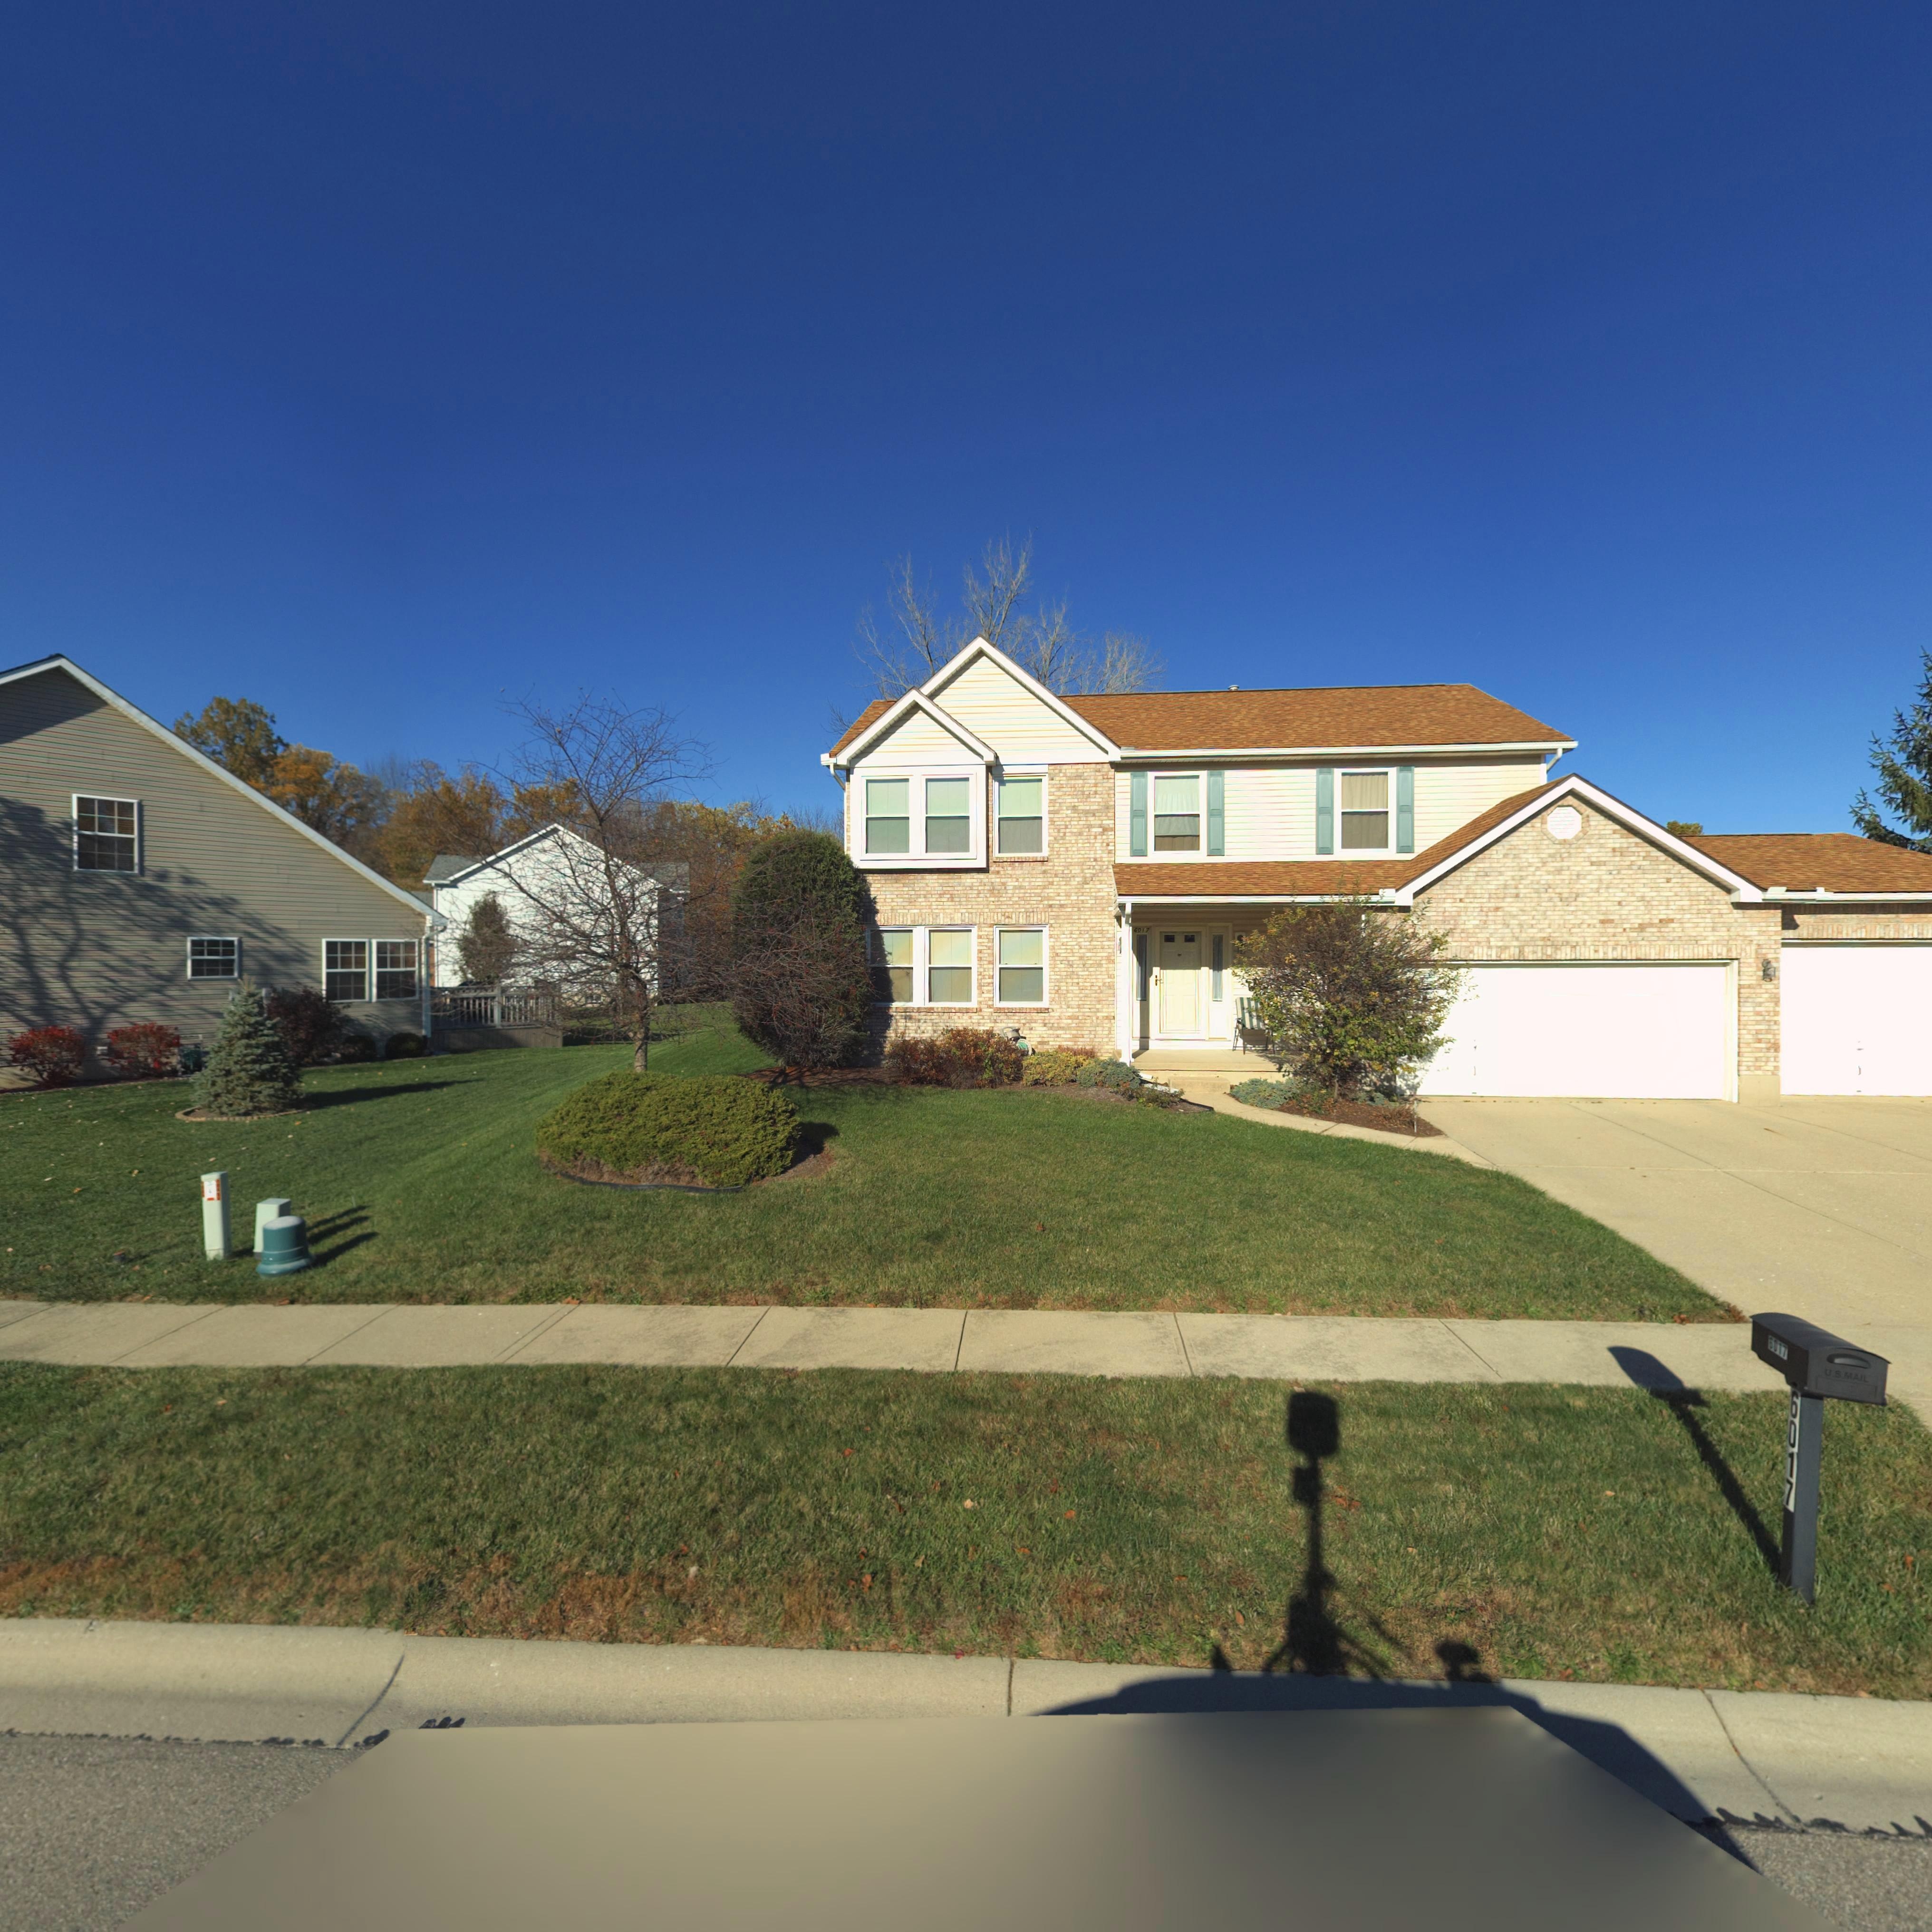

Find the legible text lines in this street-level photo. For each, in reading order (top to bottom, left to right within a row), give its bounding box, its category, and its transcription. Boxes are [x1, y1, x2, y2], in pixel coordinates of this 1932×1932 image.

[1133, 927, 1151, 933] StreetNumber: 6017
[1767, 1335, 1788, 1361] StreetNumber: 6017
[1784, 1388, 1801, 1508] StreetNumber: 6017